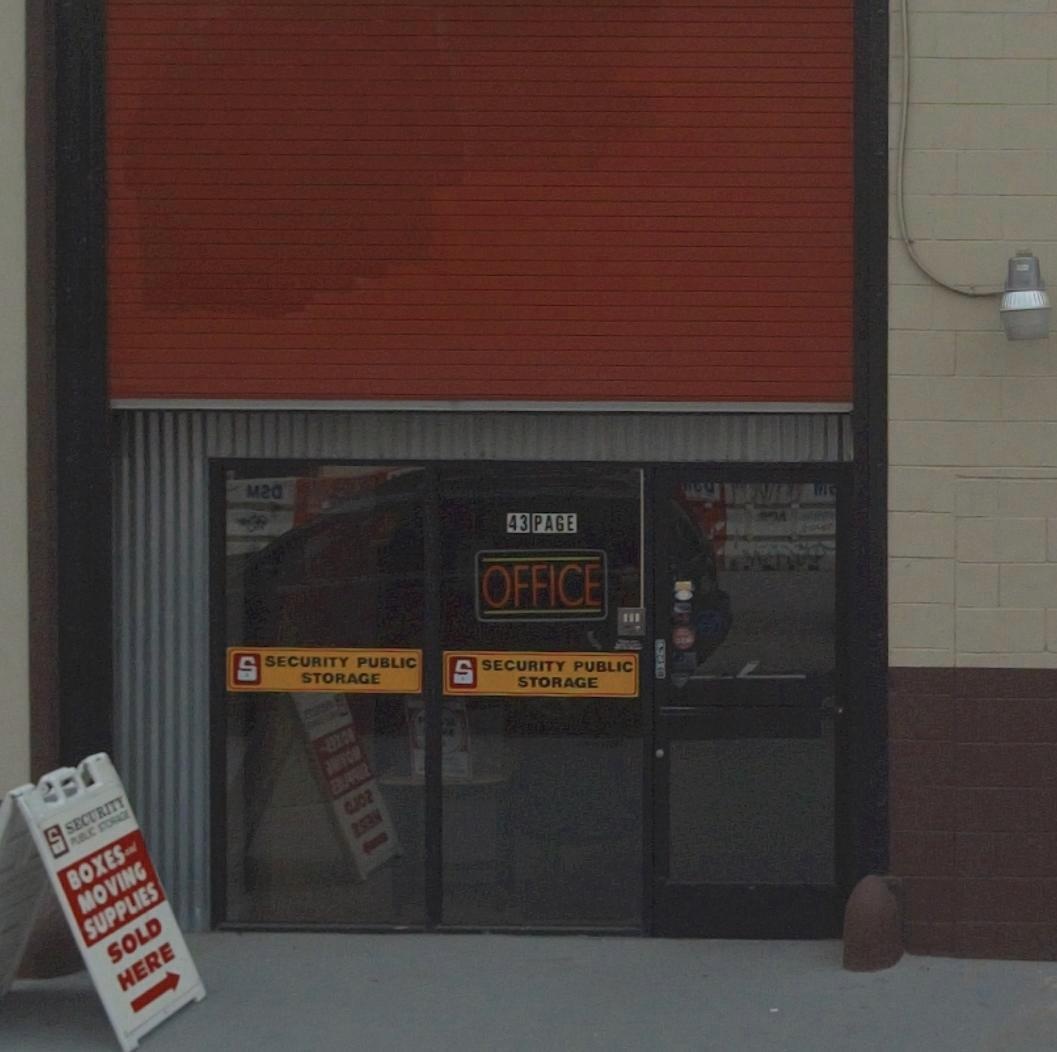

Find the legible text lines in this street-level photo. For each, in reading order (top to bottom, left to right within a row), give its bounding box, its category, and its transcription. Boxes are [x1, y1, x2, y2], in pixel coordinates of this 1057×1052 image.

[243, 481, 285, 501] None: **M
[507, 513, 530, 533] StreetNumber: 43
[533, 513, 575, 532] StreetName: PAGE
[480, 561, 602, 610] None: OFFICE
[263, 654, 418, 670] BusinessName: SECURITY PUBLIC
[300, 671, 382, 686] BusinessName: STORAGE
[479, 657, 634, 673] BusinessName: SECURITY PUBLIC
[516, 675, 600, 690] BusinessName: STORAGE
[61, 792, 127, 838] BusinessName: SECURITY
[340, 786, 376, 818] None: *O**
[67, 825, 100, 850] BusinessName: PU***c
[64, 843, 127, 894] None: BOXES
[73, 858, 149, 918] None: MOVING
[82, 879, 161, 942] None: SUPPLIES
[104, 915, 164, 967] None: SOLD
[113, 938, 178, 996] None: HERE